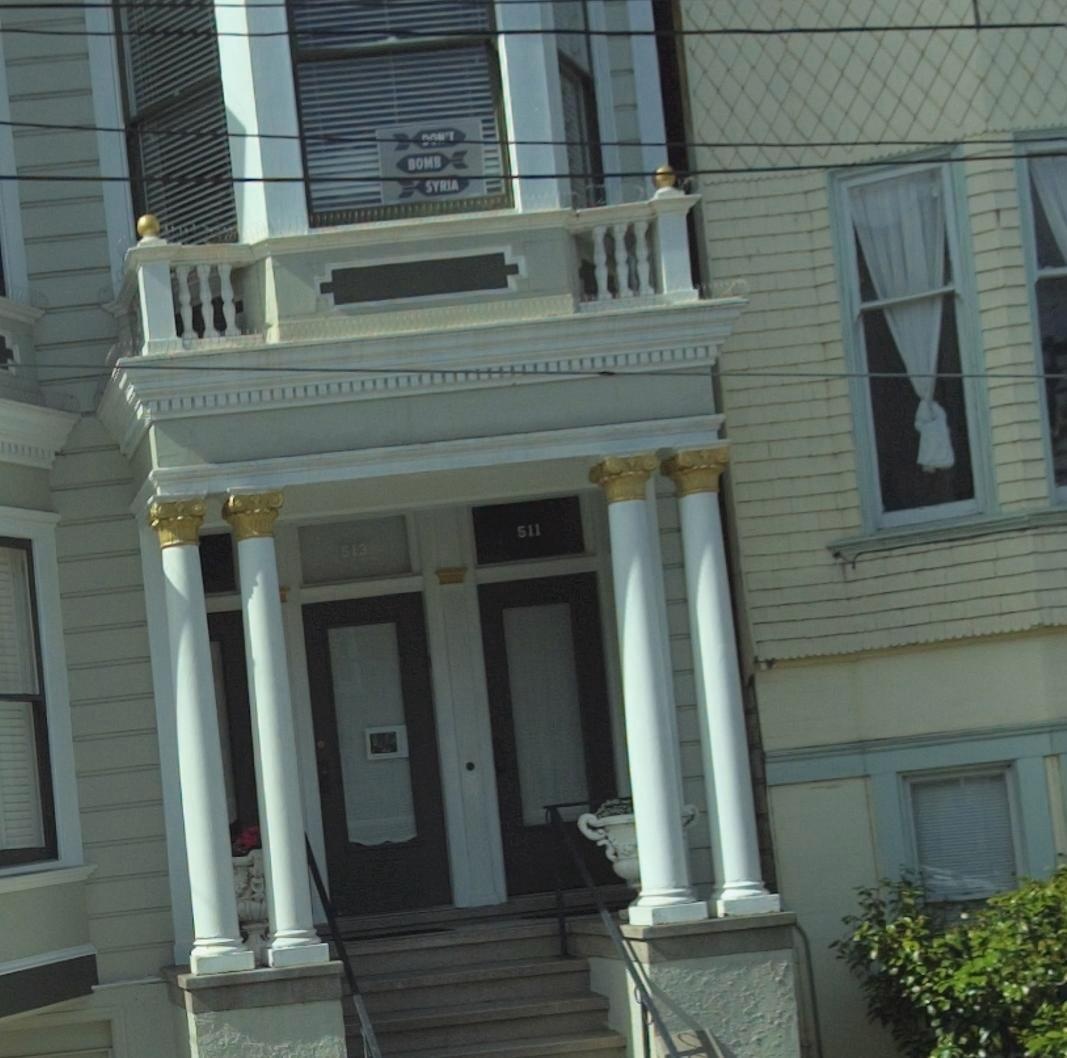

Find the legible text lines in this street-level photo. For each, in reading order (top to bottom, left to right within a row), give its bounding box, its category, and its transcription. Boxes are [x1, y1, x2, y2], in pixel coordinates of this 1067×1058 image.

[406, 153, 444, 173] None: BOMB
[423, 176, 462, 196] None: SYRIA
[514, 519, 544, 542] StreetNumber: 511
[341, 540, 370, 560] StreetNumber: 513